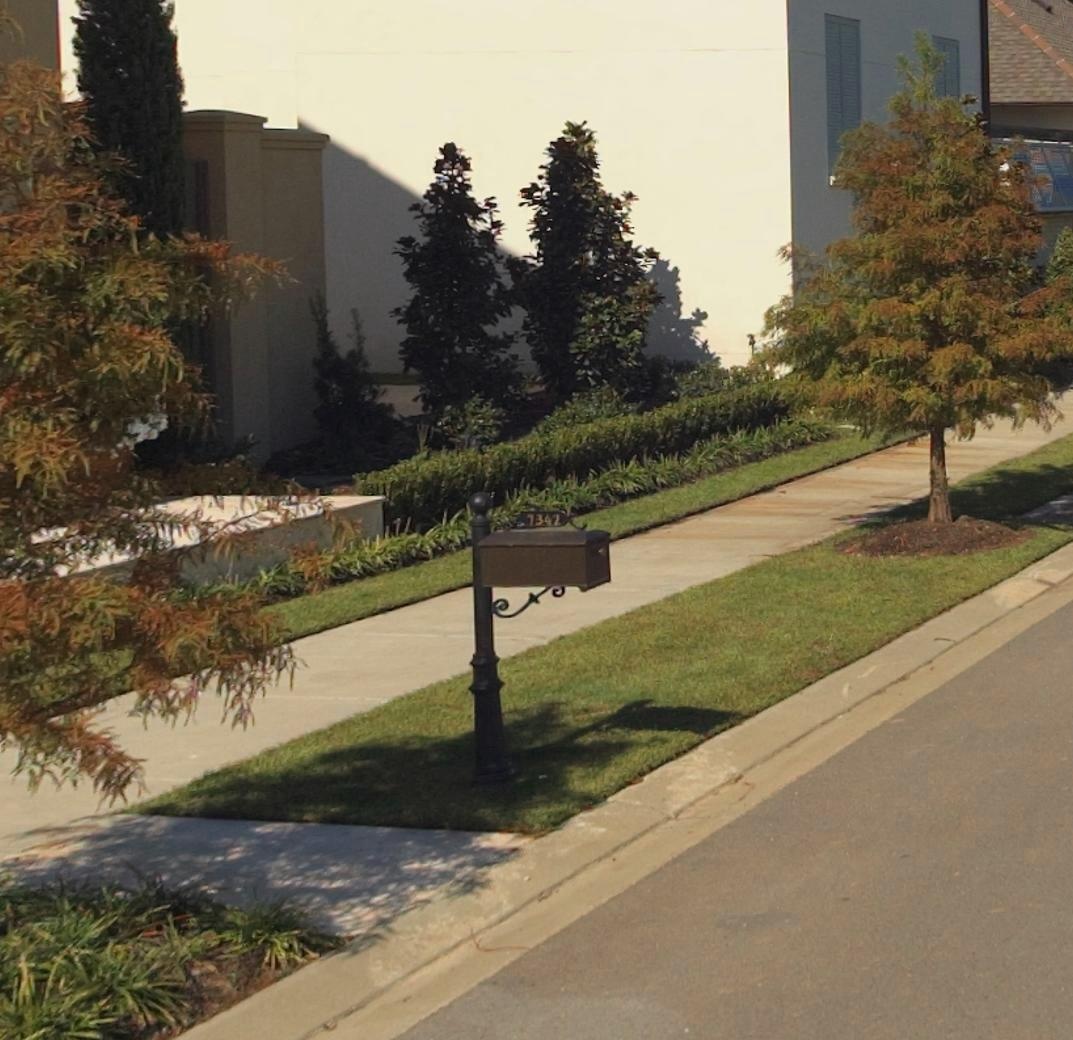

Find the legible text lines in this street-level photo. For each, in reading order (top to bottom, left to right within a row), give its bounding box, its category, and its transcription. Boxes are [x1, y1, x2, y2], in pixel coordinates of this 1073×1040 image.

[526, 513, 561, 526] StreetNumber: 7342